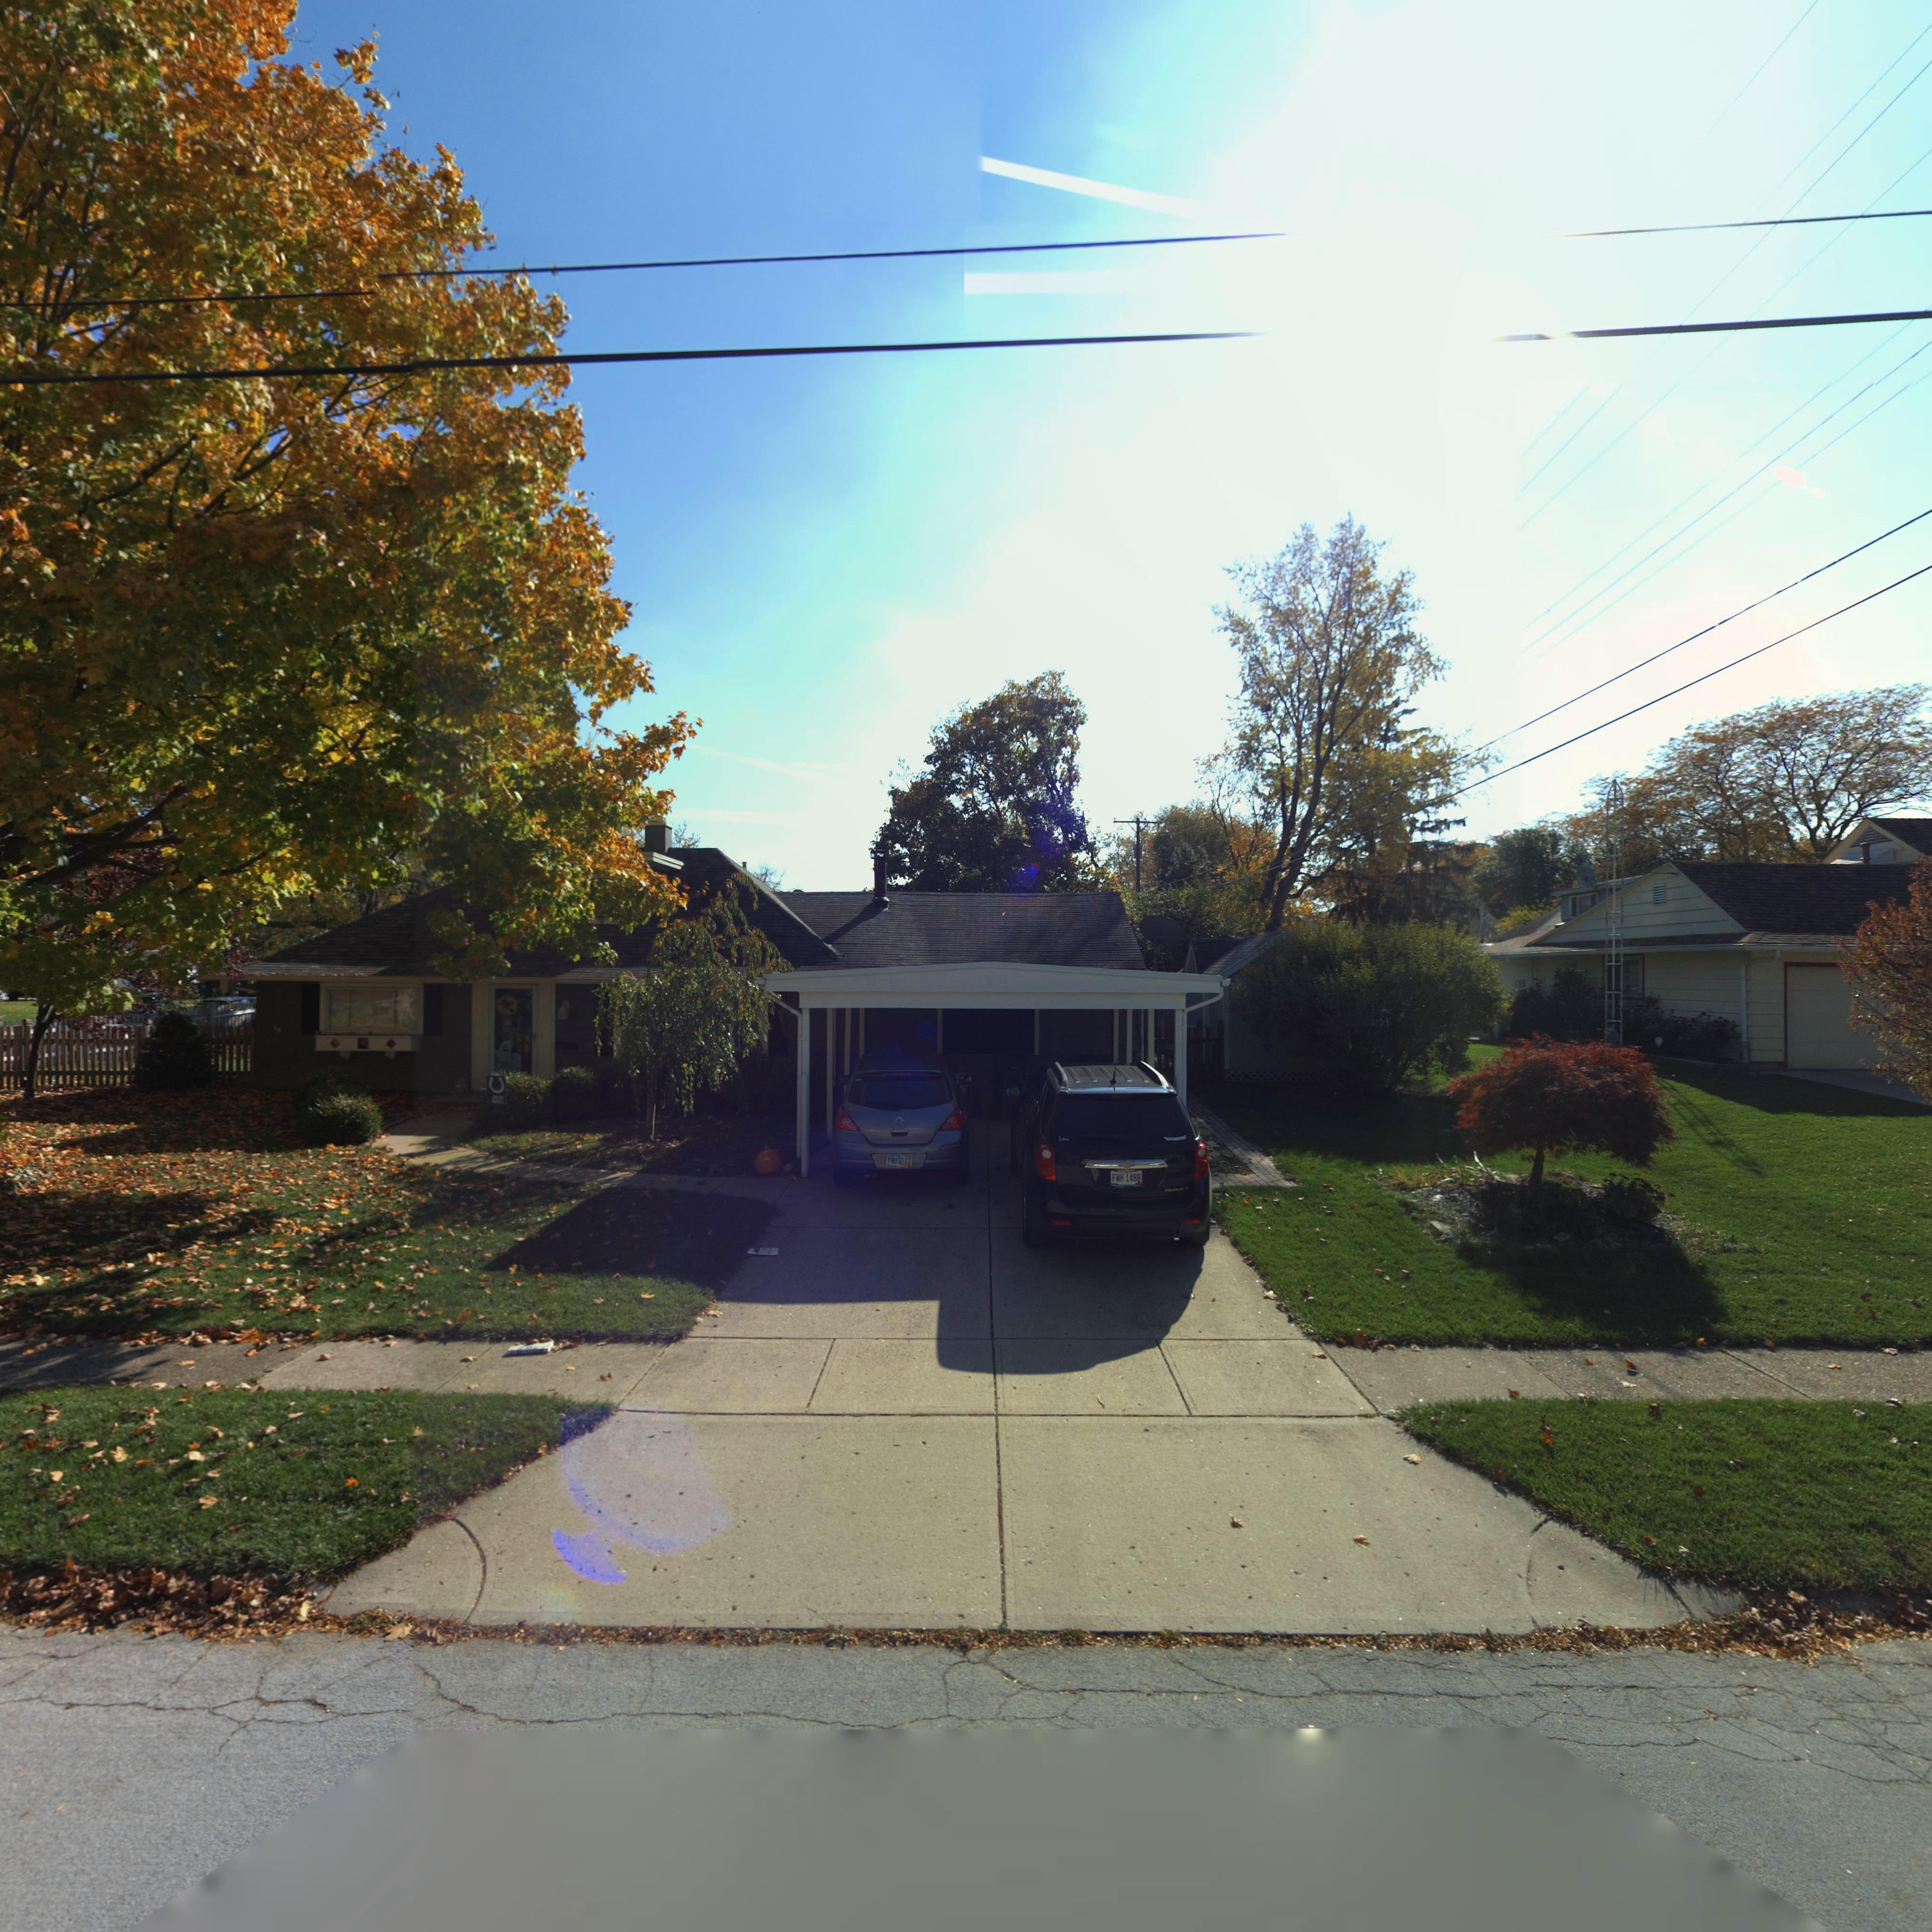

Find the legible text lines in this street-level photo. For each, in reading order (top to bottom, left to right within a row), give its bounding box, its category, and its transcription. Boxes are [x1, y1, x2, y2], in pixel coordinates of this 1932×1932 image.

[887, 1157, 911, 1165] None: FNU 6113
[1111, 1172, 1142, 1183] None: FWH 1488